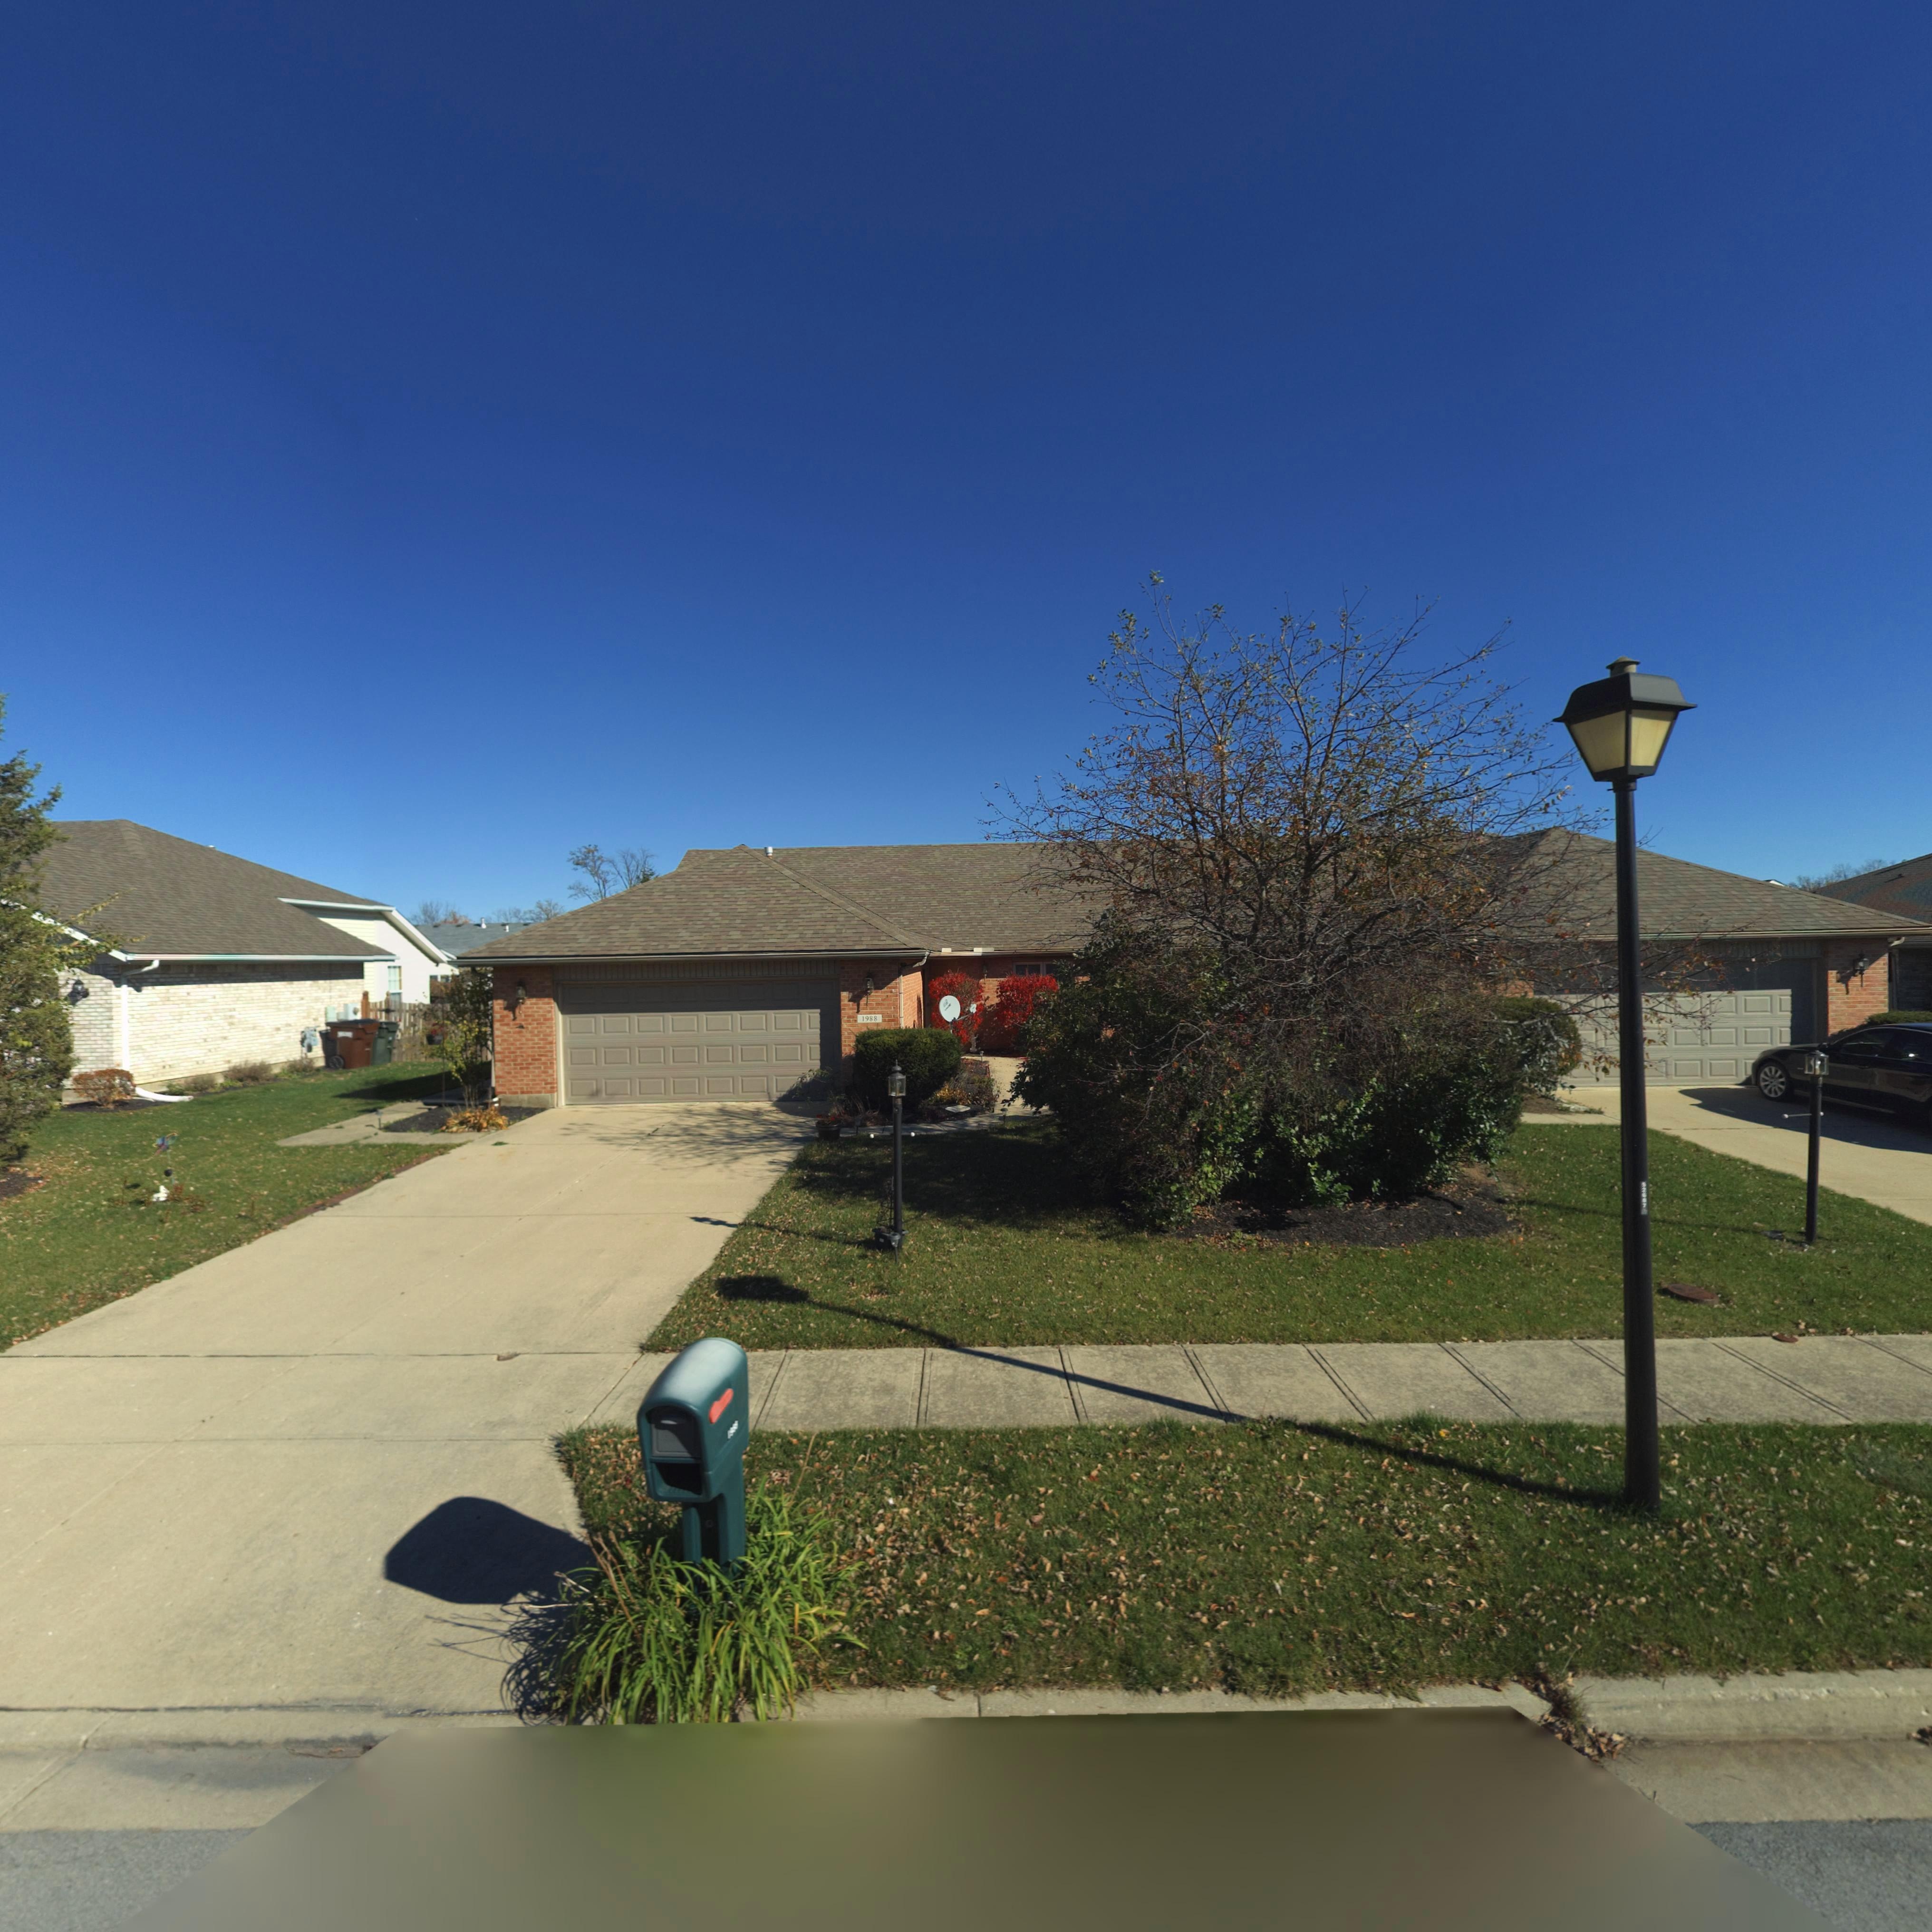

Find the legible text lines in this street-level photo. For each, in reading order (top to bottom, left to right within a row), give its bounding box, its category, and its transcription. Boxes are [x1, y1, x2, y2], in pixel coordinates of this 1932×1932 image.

[861, 1015, 878, 1023] StreetNumber: 1988